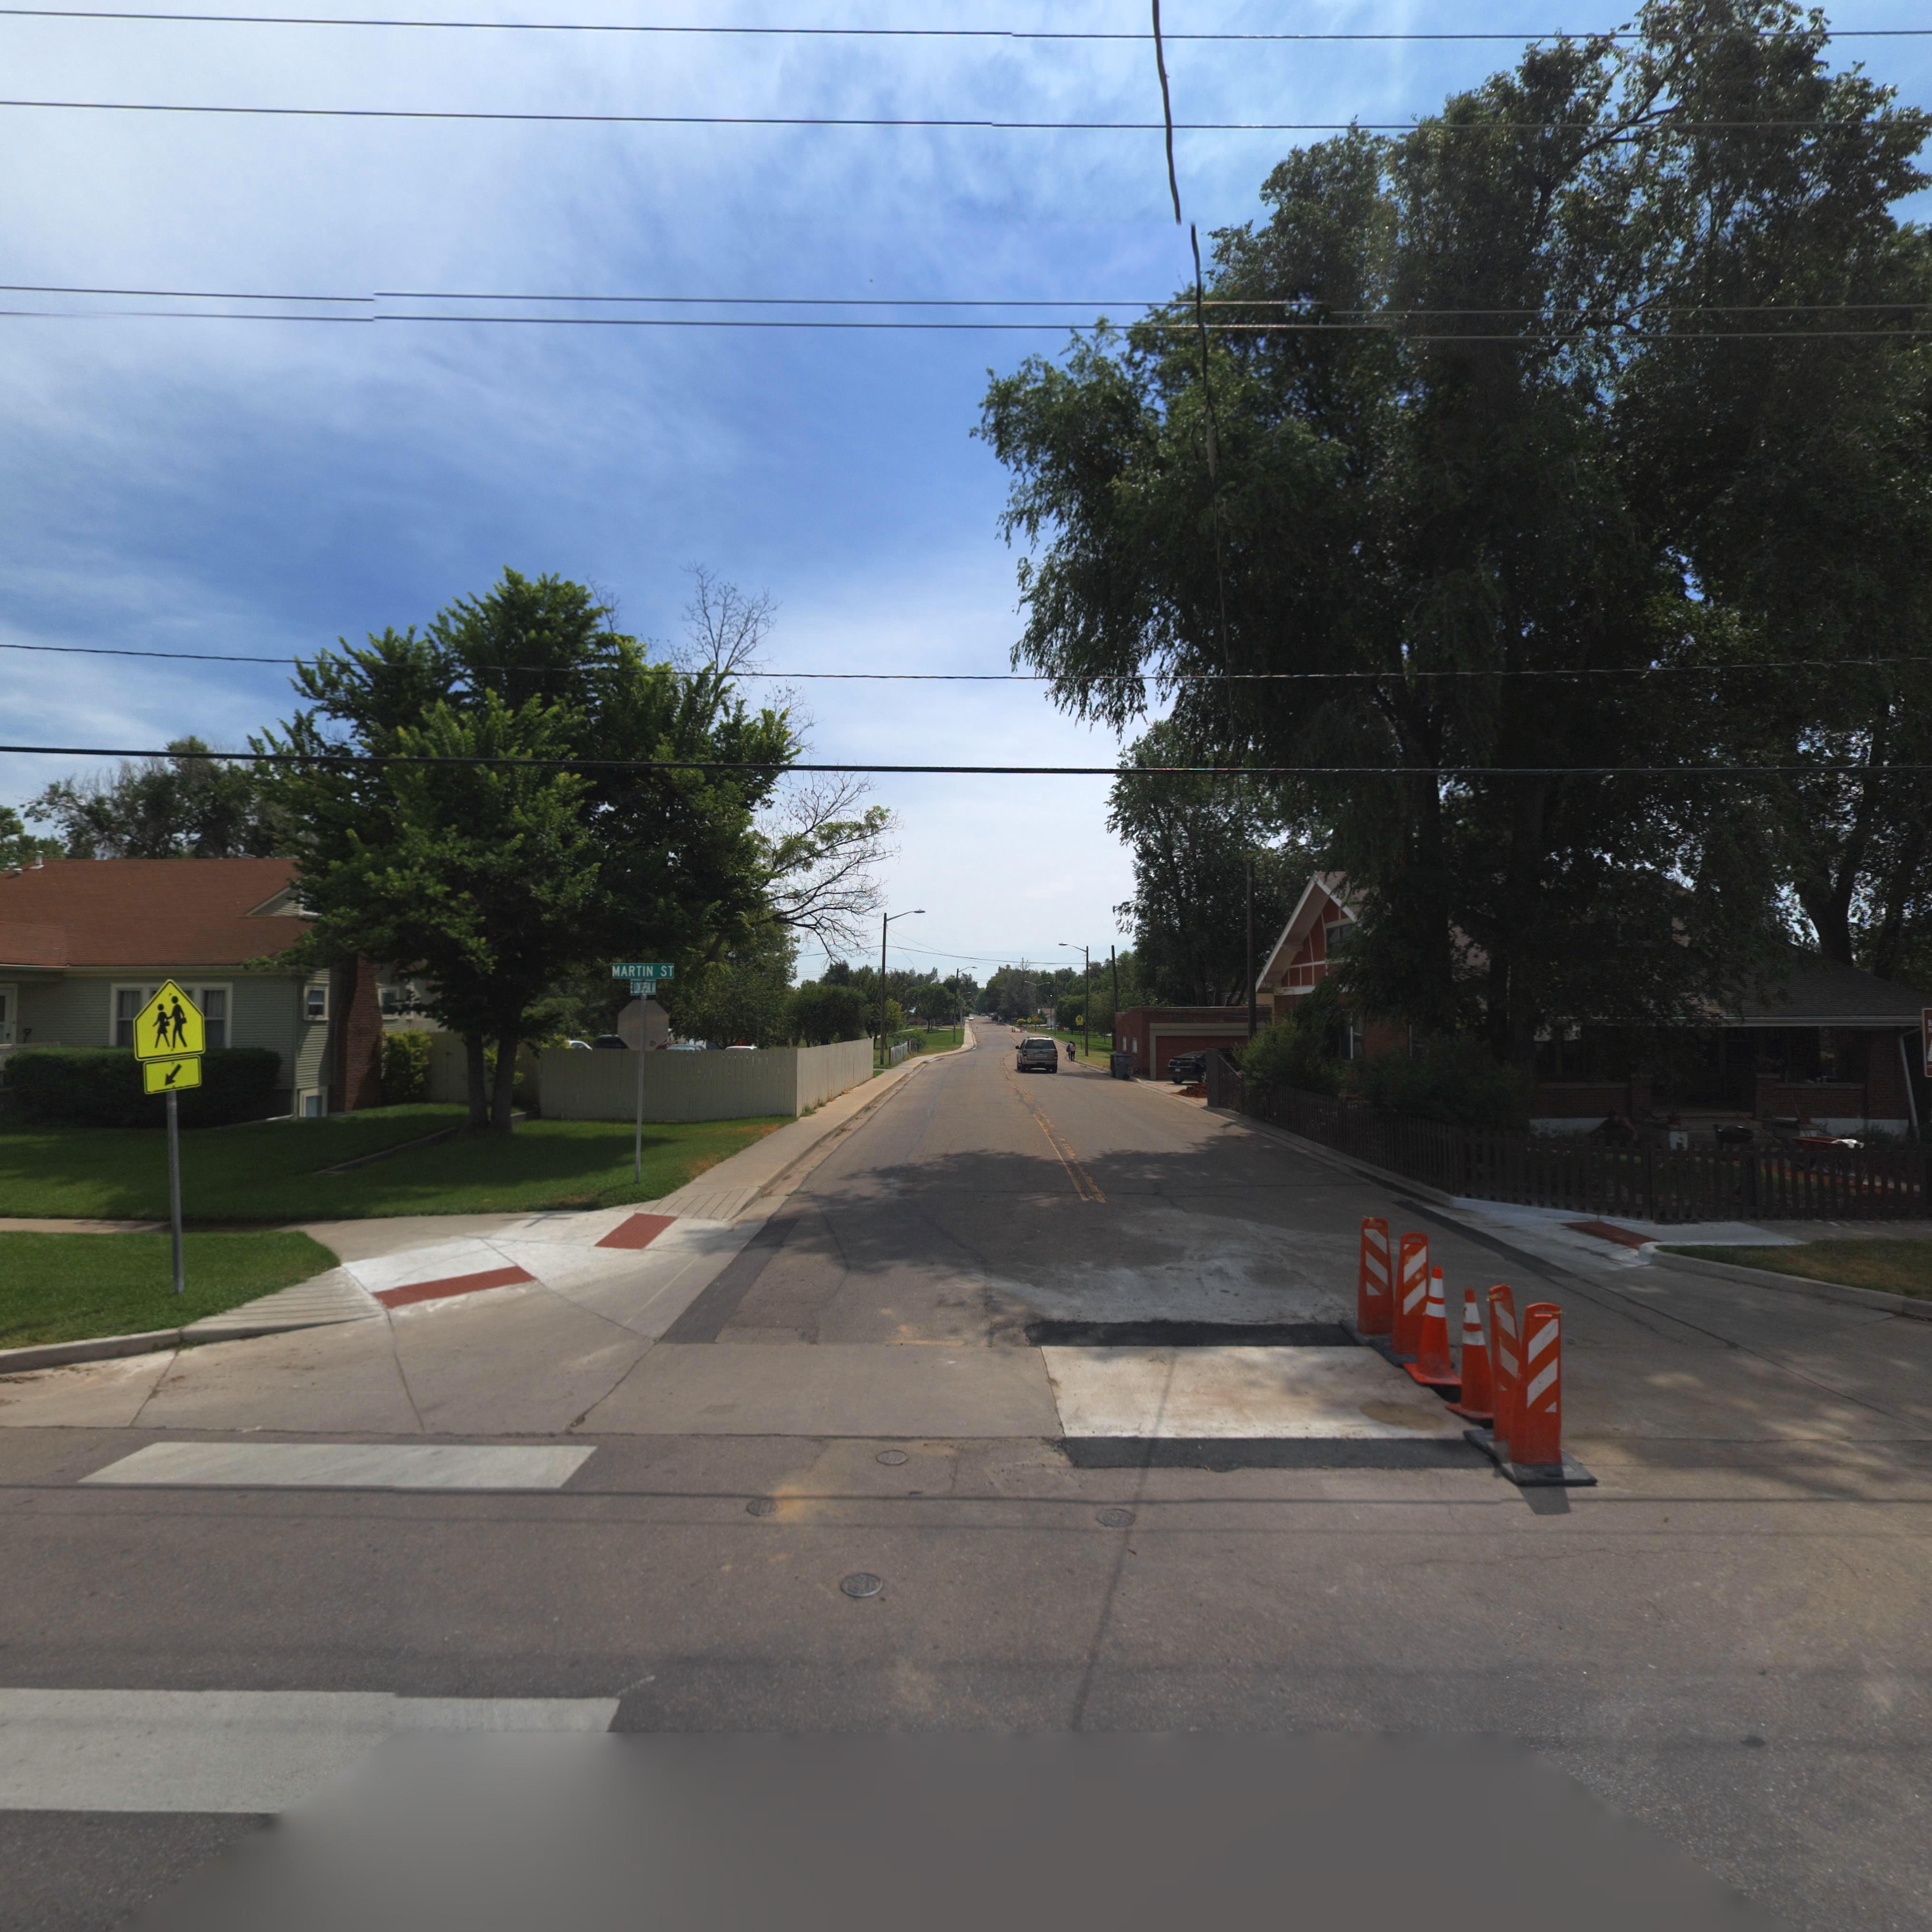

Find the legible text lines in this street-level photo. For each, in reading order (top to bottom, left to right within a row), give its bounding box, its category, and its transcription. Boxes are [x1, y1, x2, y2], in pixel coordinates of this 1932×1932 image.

[612, 965, 674, 976] StreetName: MARTIN ST
[630, 982, 656, 993] StreetName: E LON*PEAK A*